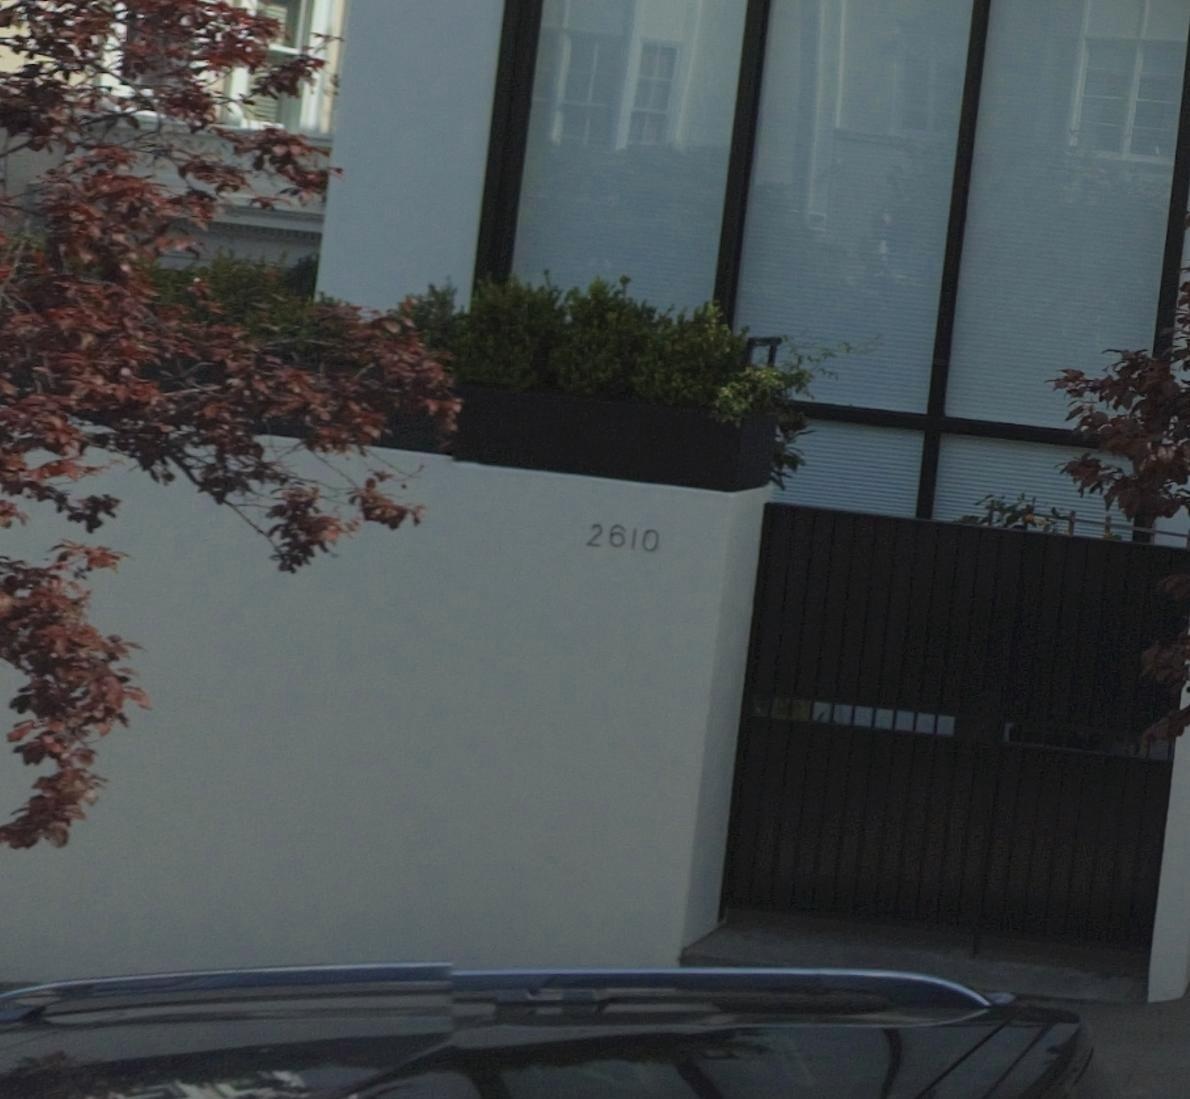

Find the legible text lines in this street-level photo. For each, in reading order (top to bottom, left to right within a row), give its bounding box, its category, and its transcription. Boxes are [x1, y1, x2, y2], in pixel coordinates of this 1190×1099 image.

[580, 520, 664, 556] StreetNumber: 2610